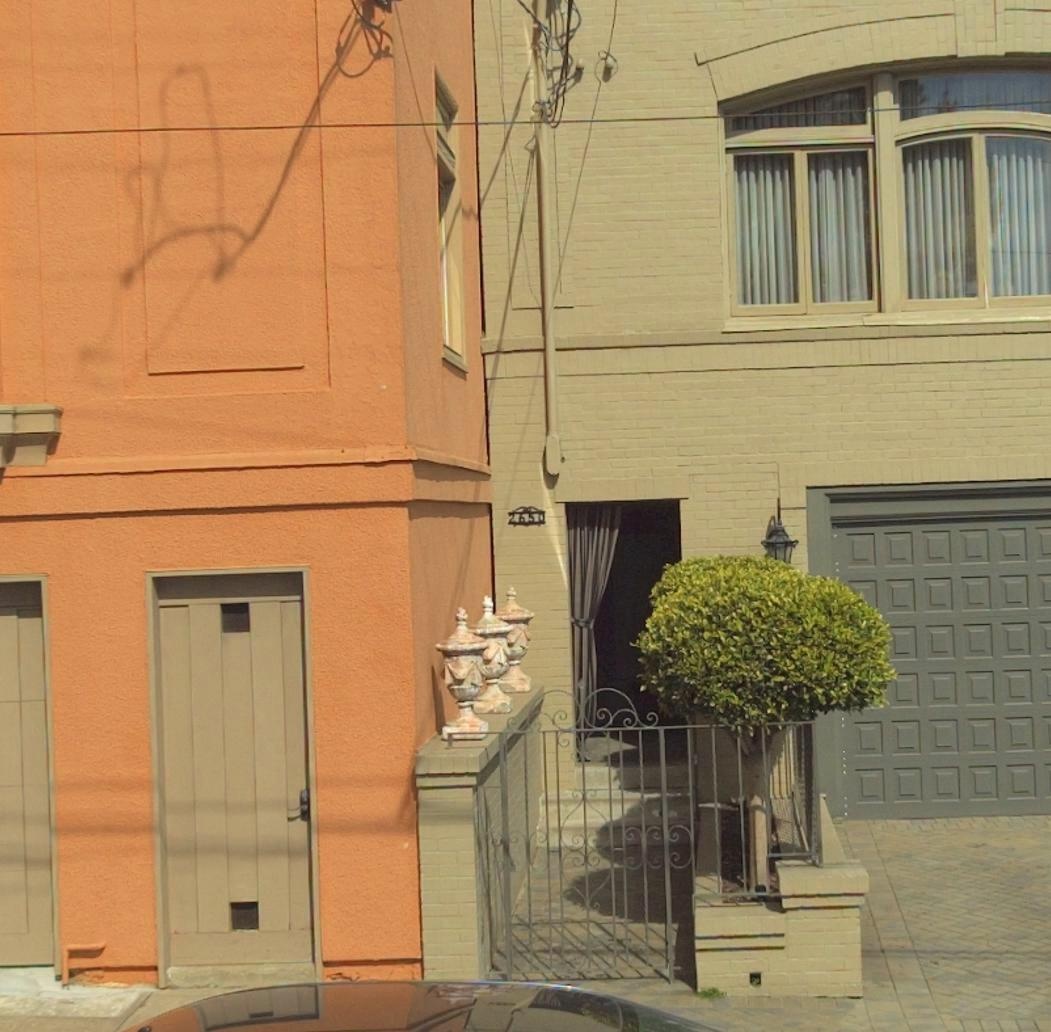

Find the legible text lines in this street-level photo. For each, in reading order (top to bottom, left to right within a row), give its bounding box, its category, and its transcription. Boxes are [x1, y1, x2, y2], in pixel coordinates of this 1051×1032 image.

[507, 512, 546, 525] StreetNumber: 2650